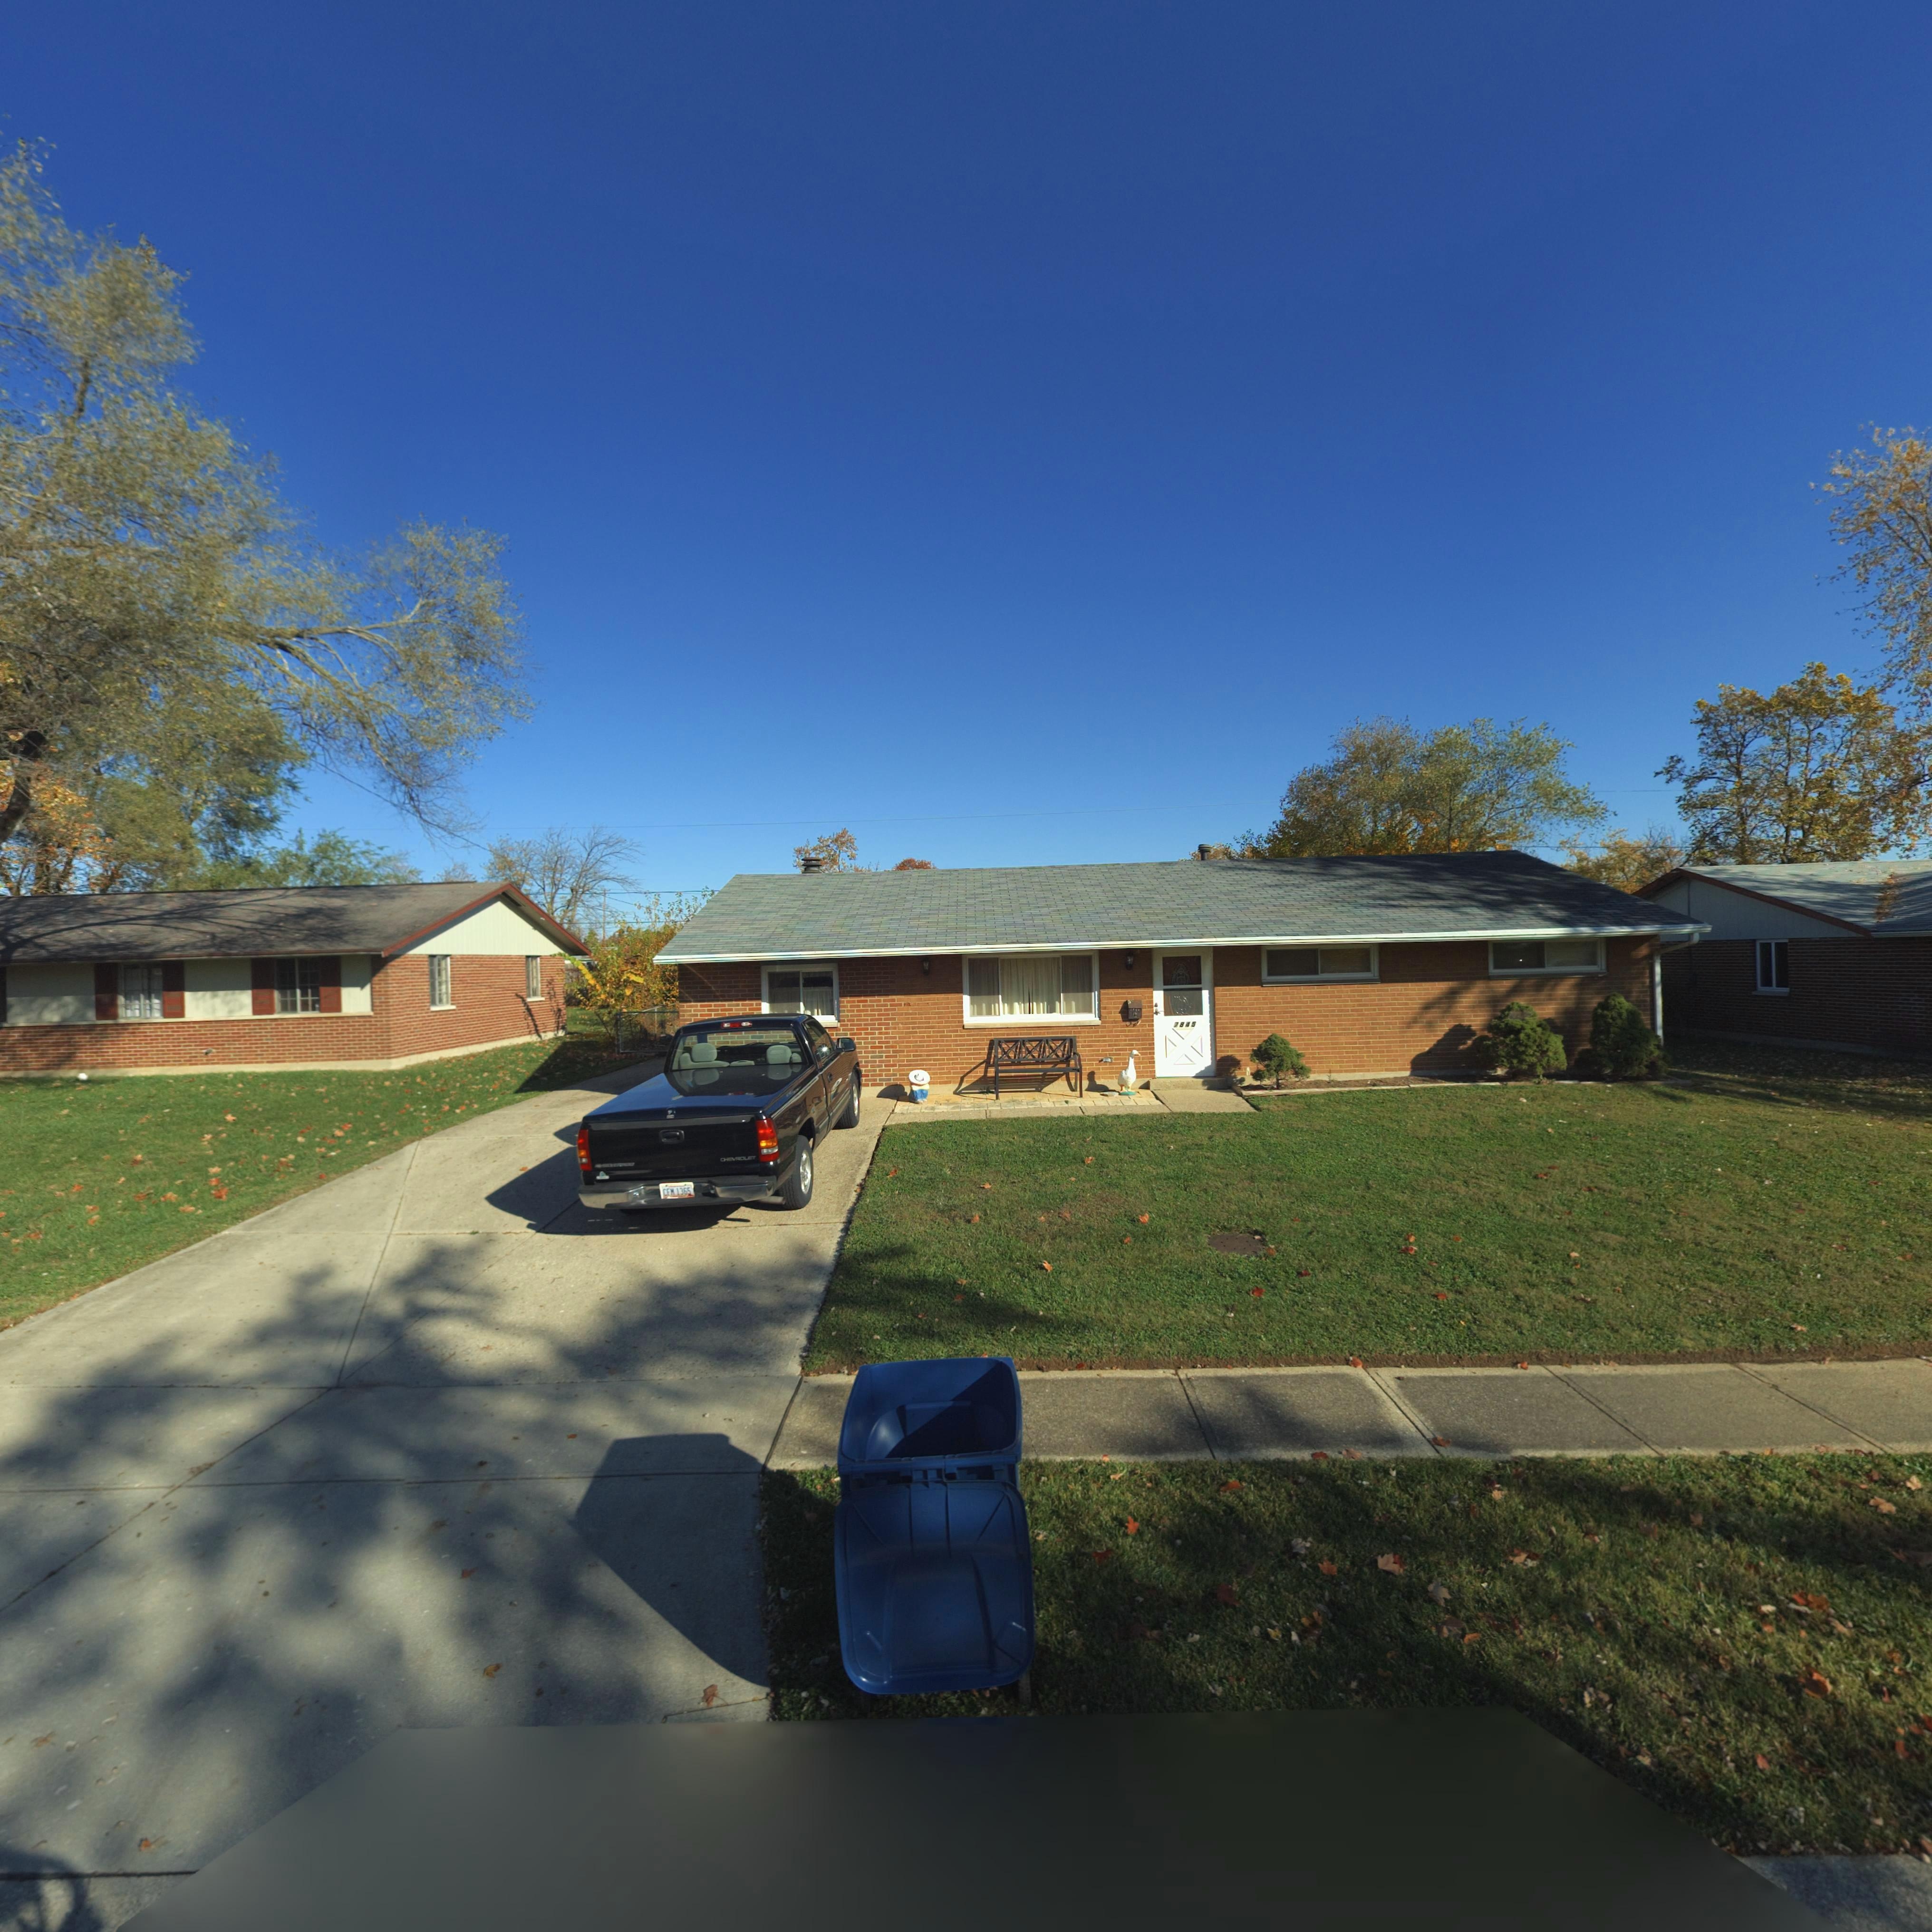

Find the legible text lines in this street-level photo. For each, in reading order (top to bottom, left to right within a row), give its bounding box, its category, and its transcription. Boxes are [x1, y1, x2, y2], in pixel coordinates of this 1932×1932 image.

[1173, 1021, 1197, 1027] StreetNumber: 7845